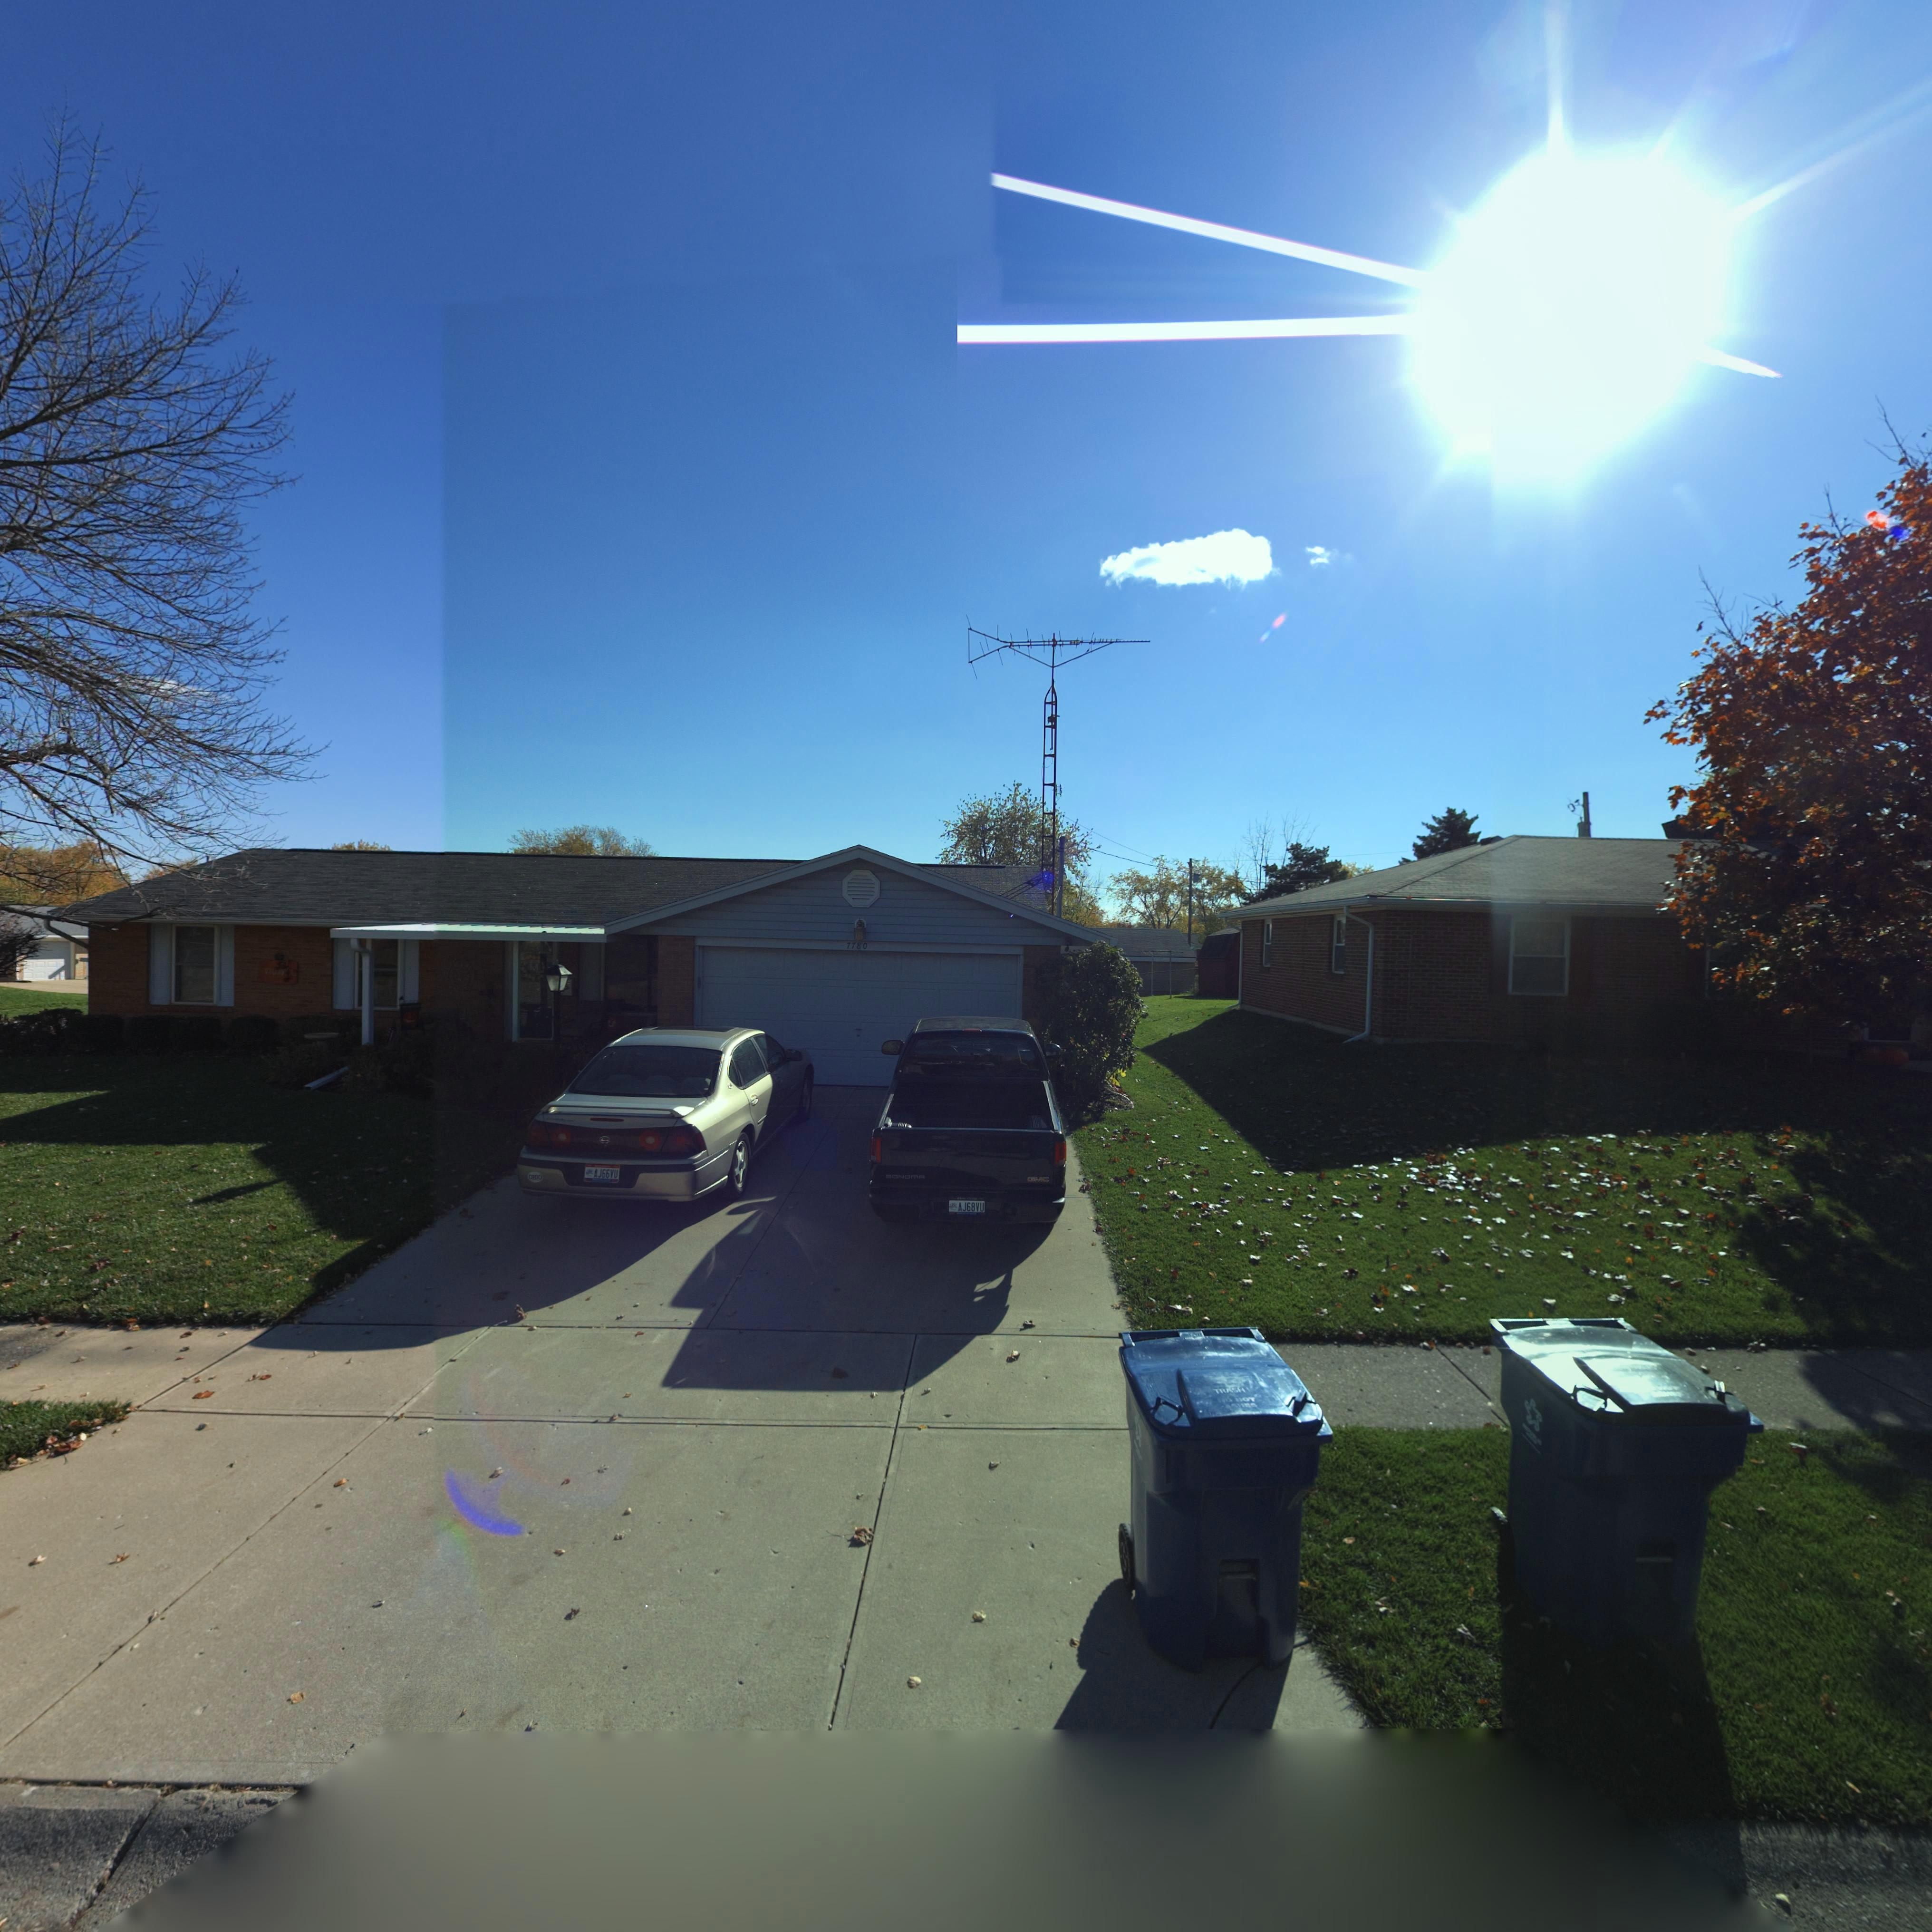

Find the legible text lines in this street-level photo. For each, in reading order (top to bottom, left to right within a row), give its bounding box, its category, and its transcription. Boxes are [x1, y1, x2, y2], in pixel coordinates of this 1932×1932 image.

[846, 941, 869, 950] StreetNumber: 7780